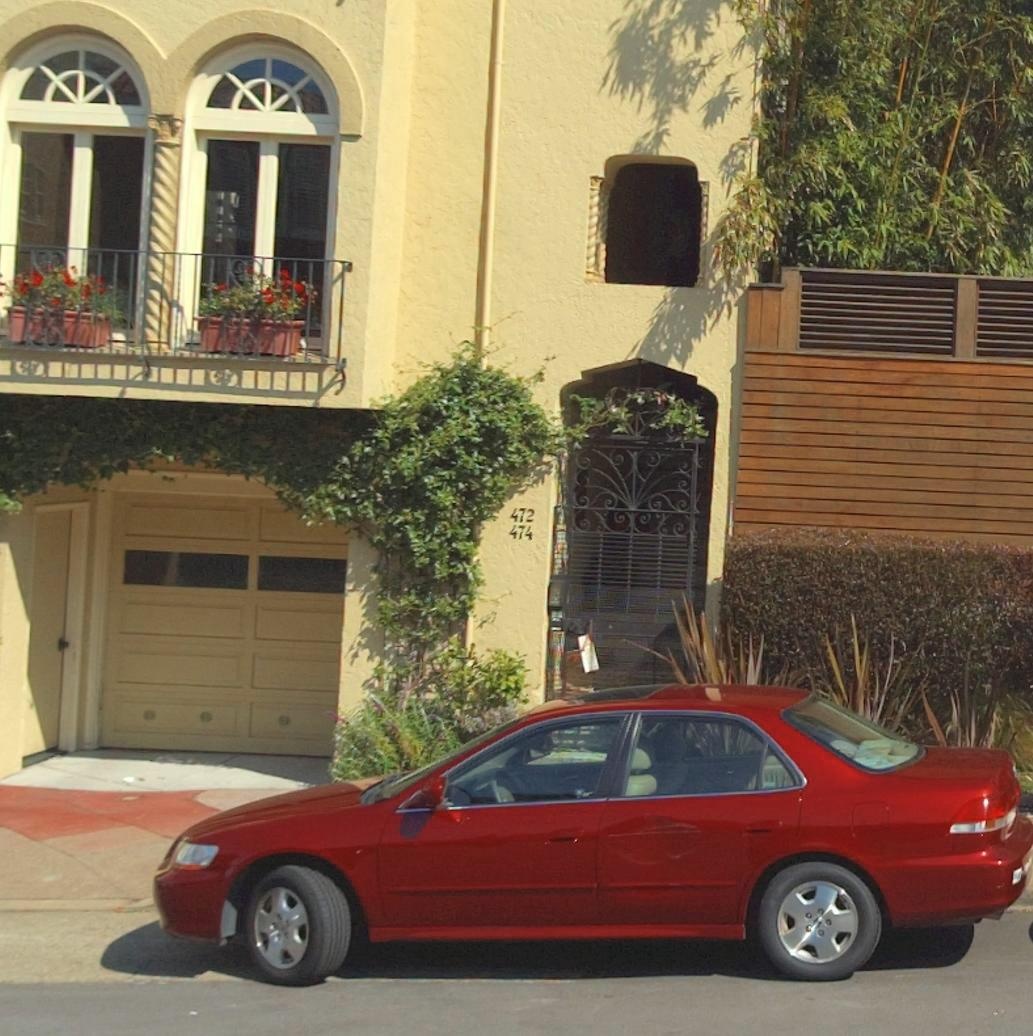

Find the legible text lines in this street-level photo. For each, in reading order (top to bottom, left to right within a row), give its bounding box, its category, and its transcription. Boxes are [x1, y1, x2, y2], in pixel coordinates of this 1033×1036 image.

[509, 507, 536, 523] StreetNumber: 472
[508, 524, 534, 541] StreetNumber: 474